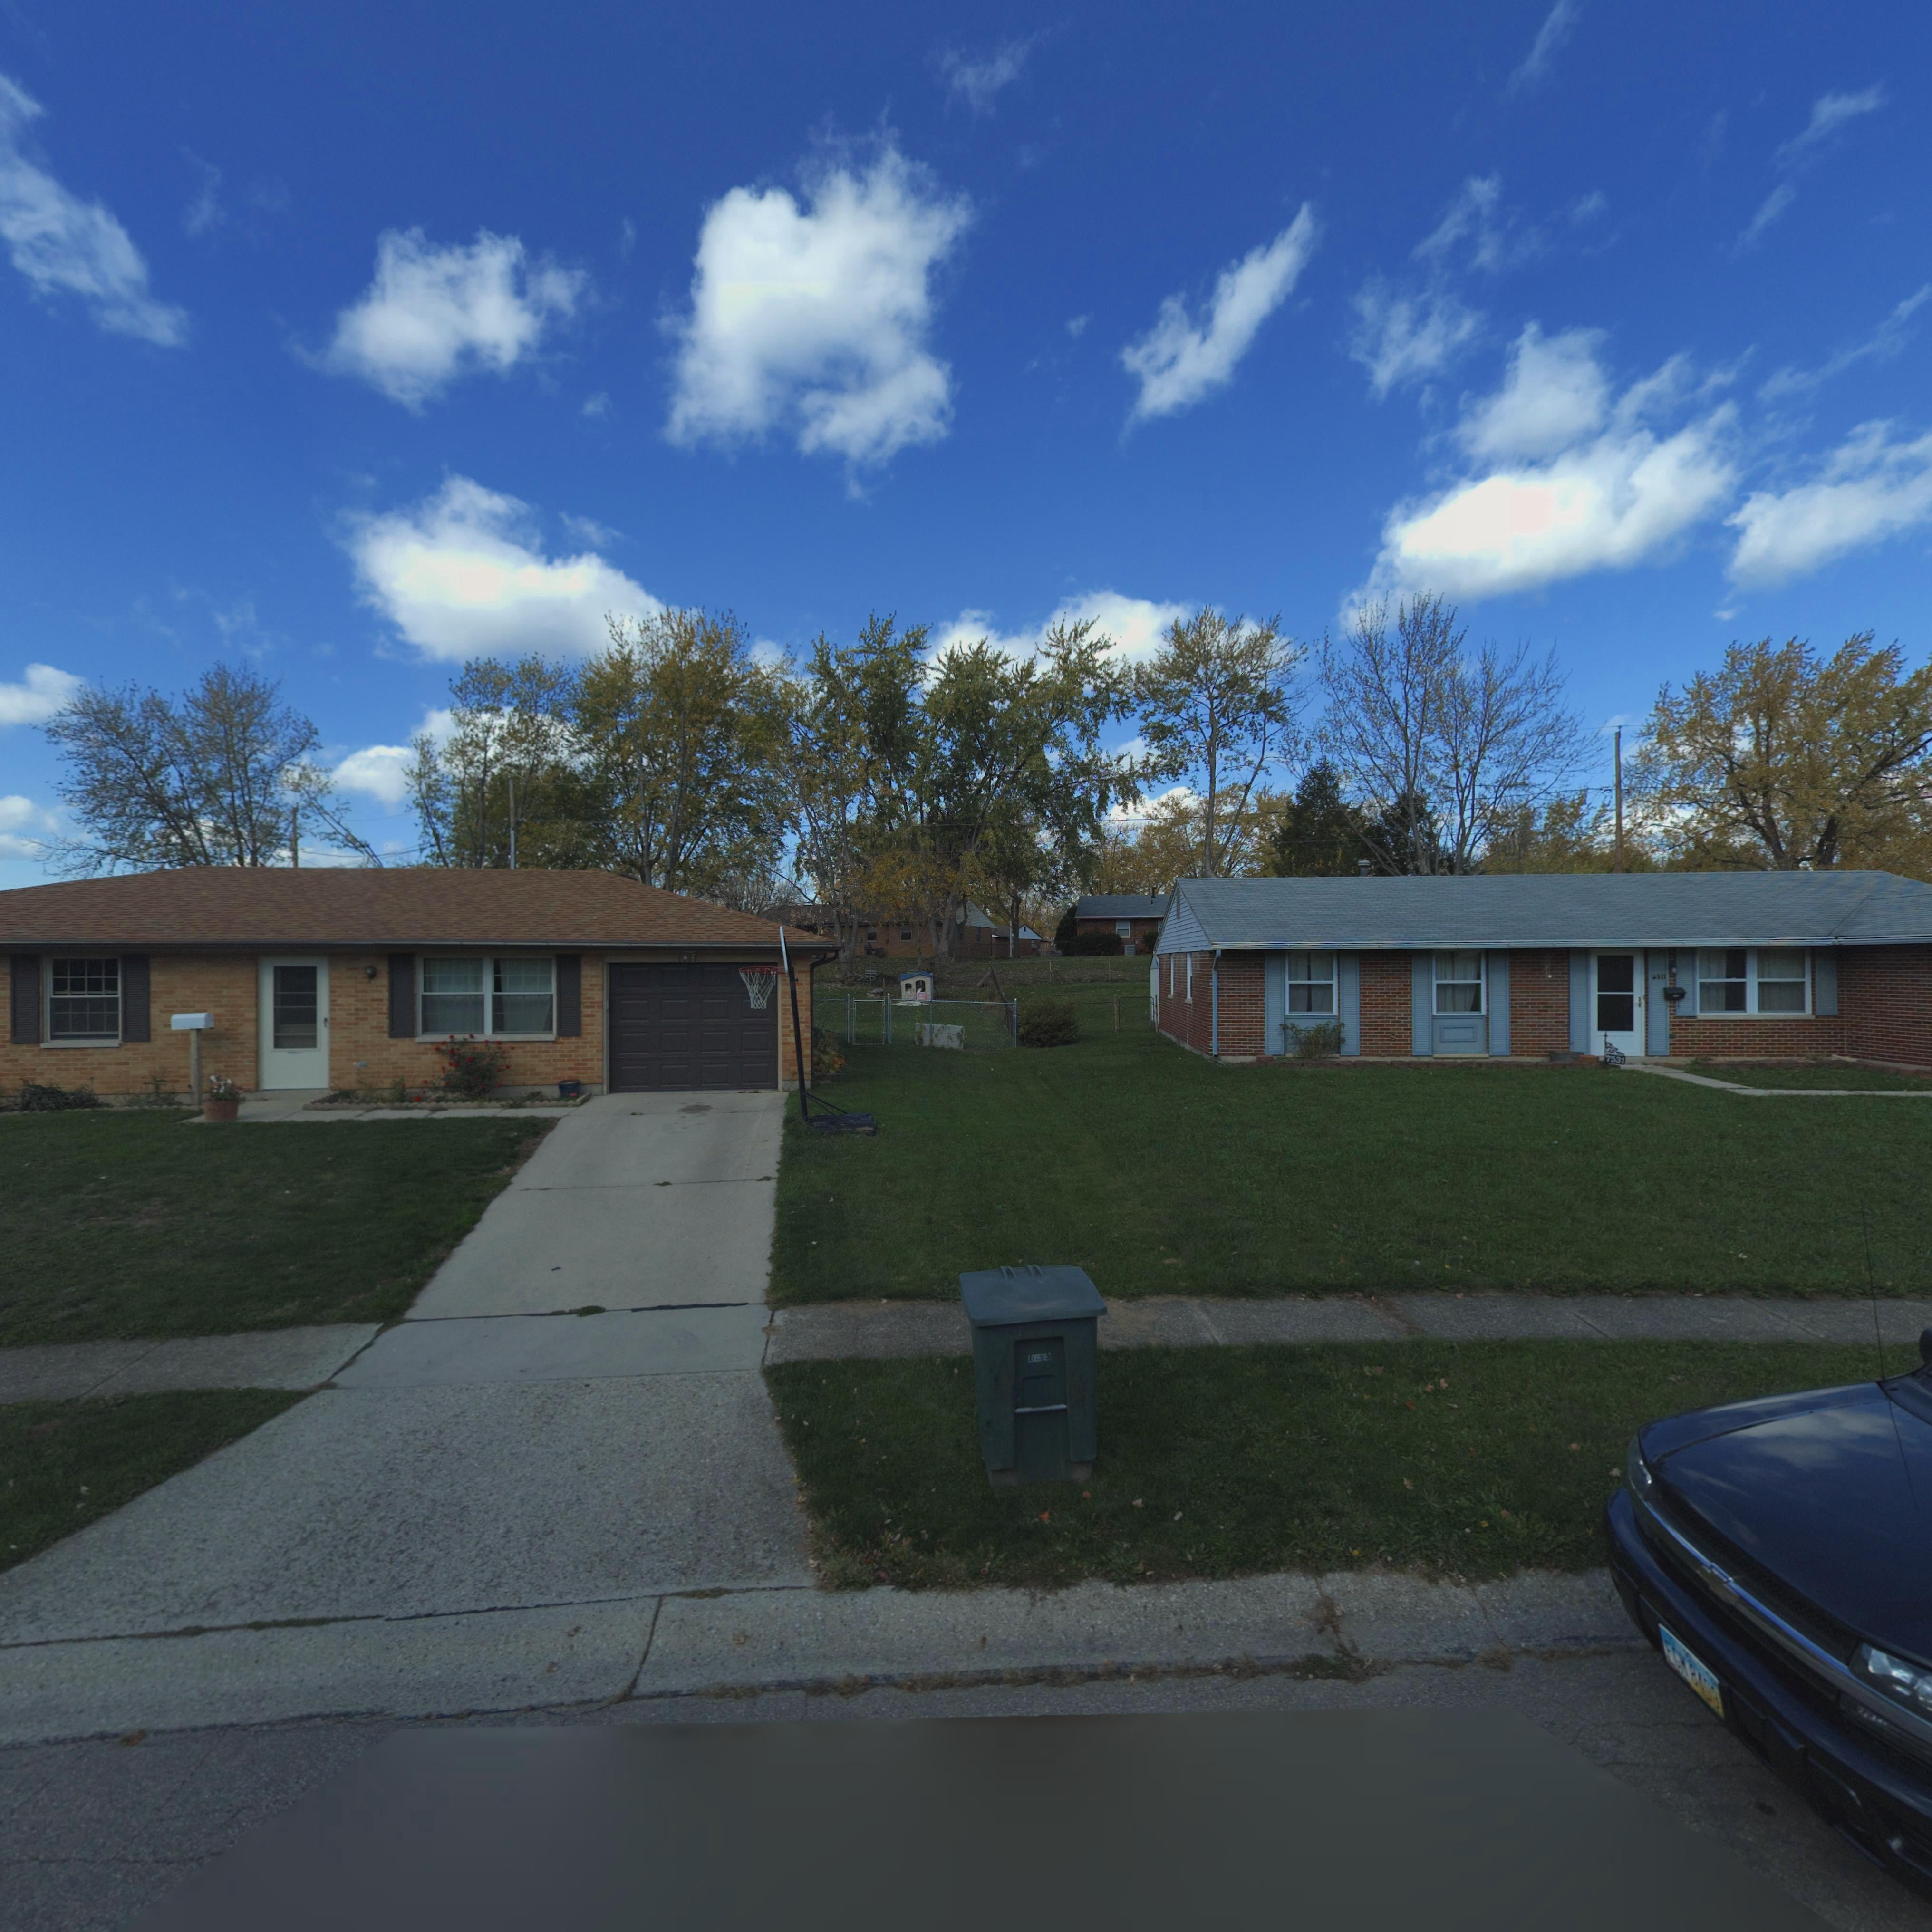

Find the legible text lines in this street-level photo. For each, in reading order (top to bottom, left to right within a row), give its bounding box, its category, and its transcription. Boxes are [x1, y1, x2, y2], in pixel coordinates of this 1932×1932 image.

[677, 954, 697, 962] StreetNumber: 7***
[1650, 974, 1665, 980] StreetNumber: 7531
[1605, 1054, 1625, 1065] StreetNumber: 7531